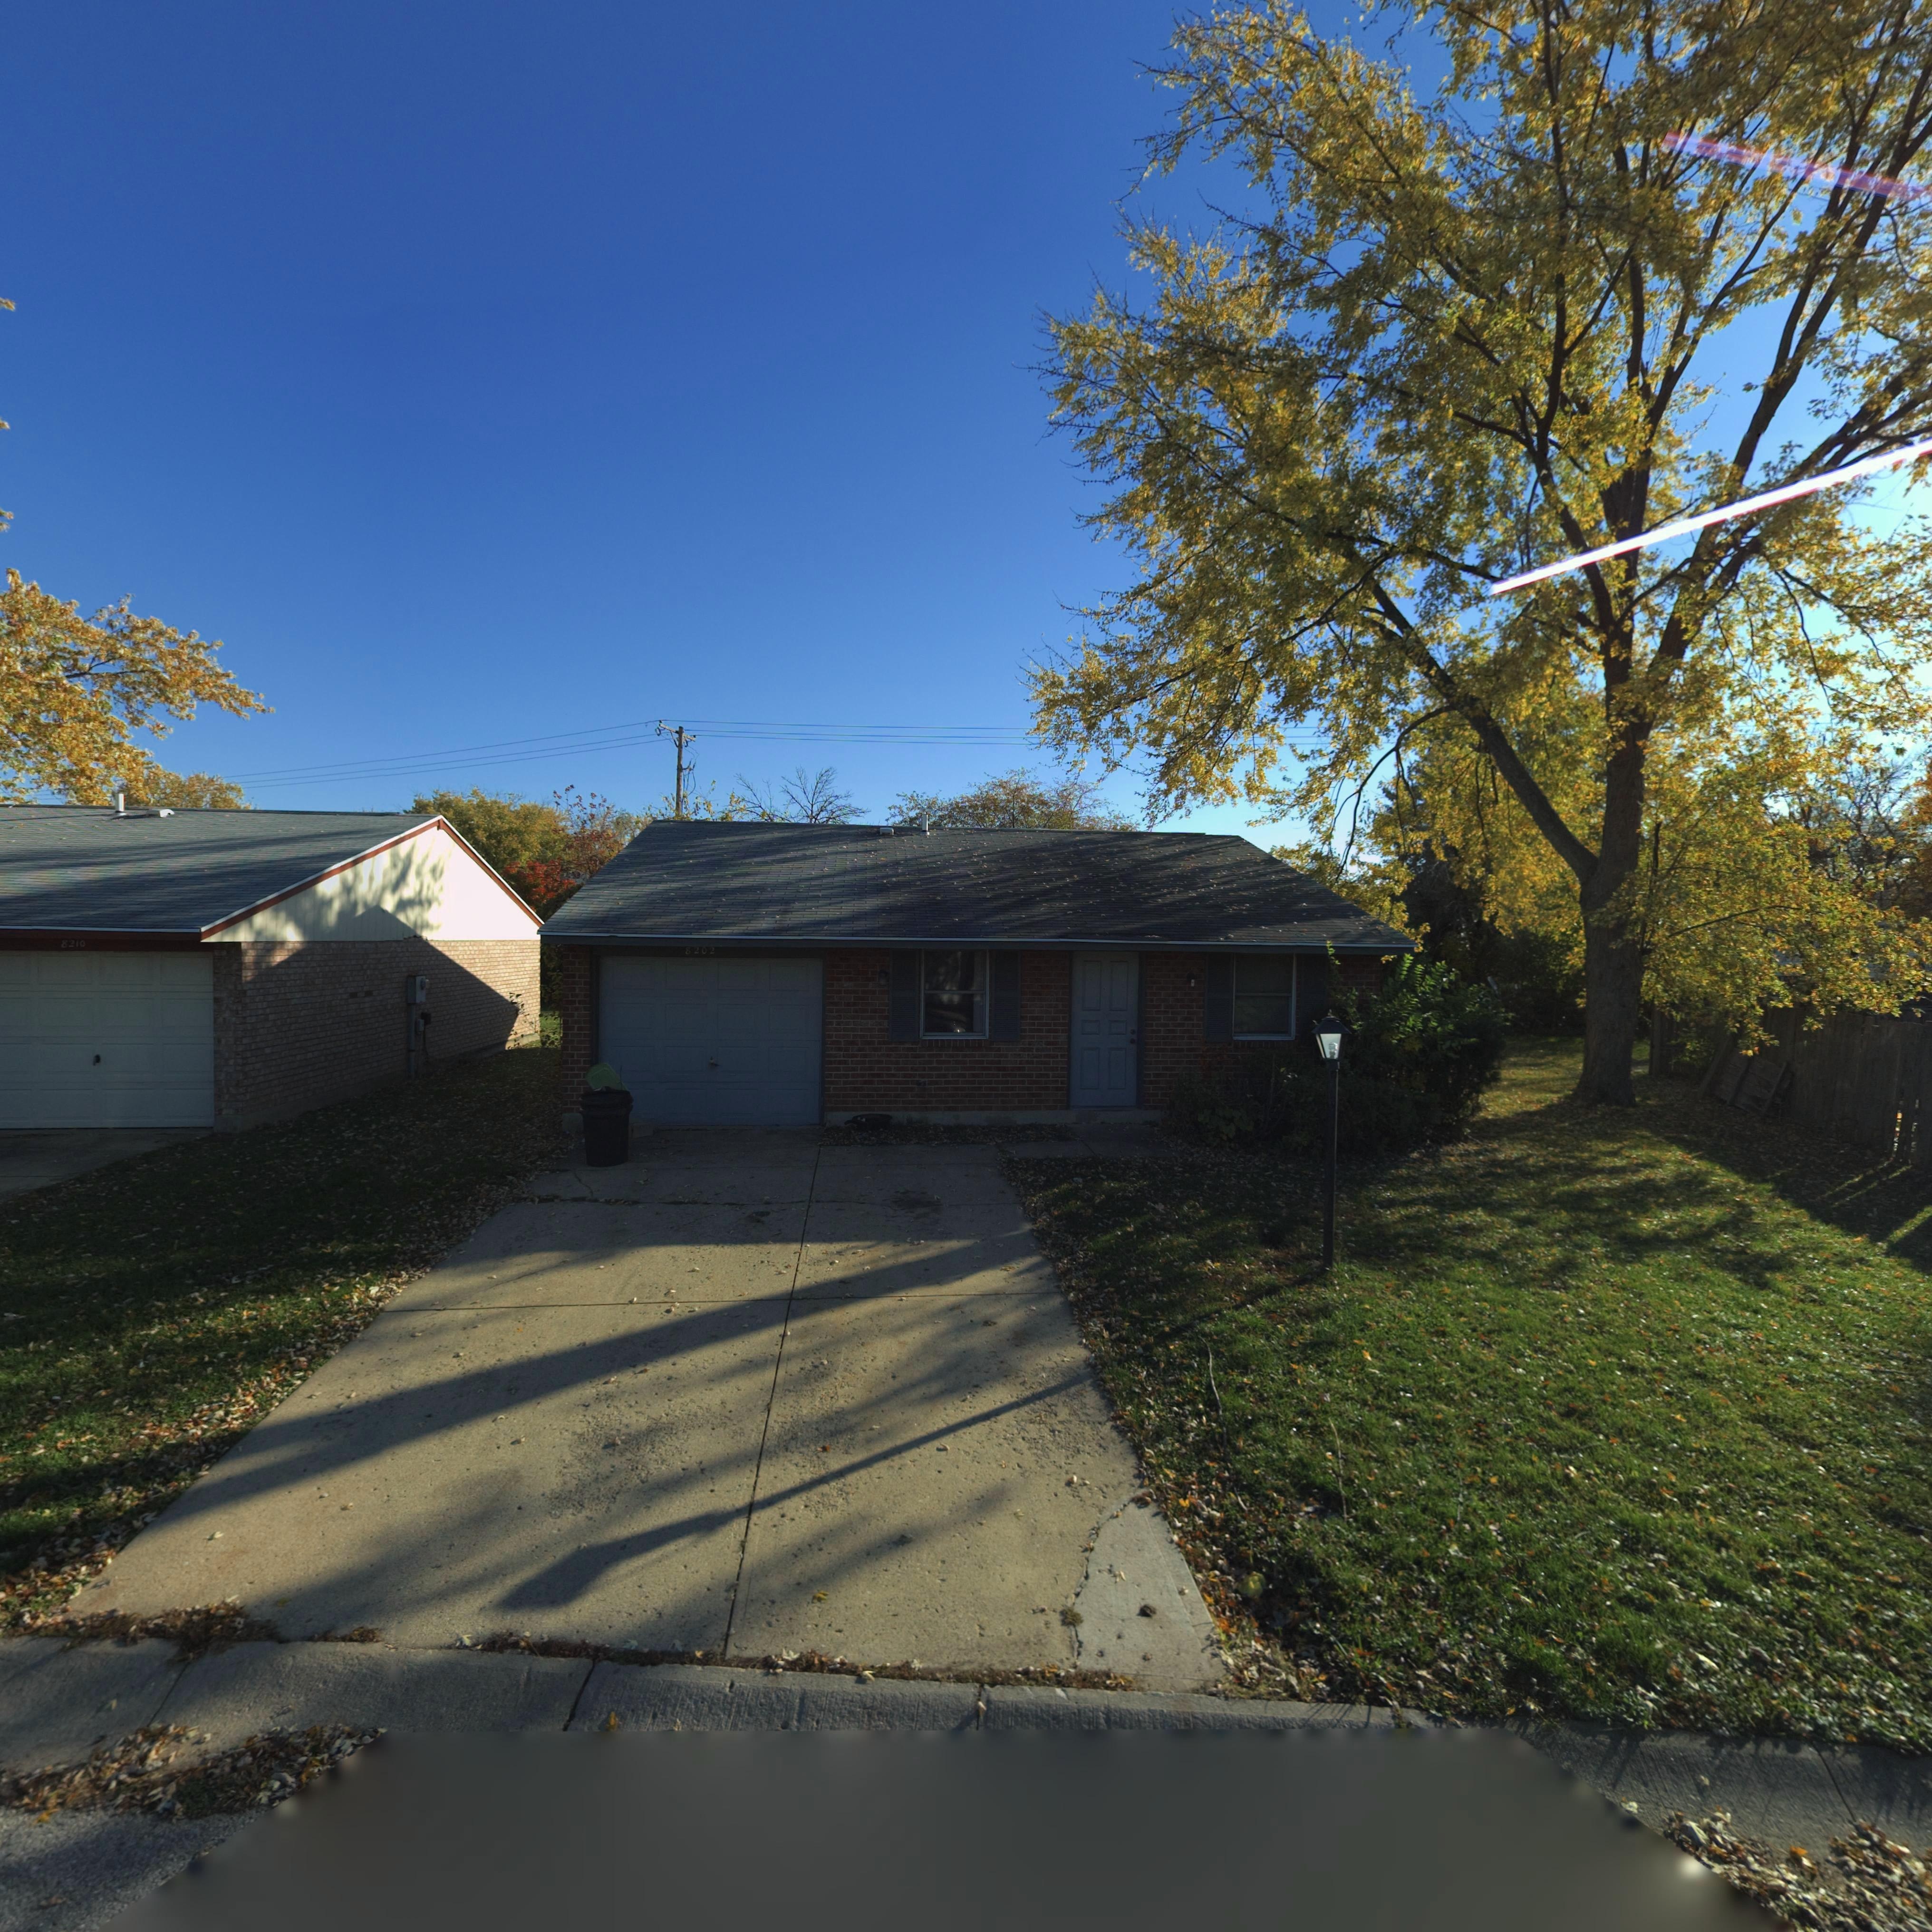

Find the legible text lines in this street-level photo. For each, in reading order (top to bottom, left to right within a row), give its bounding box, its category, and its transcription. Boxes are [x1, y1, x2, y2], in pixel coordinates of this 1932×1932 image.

[60, 938, 87, 950] StreetNumber: 8210
[684, 946, 716, 956] StreetNumber: 8202